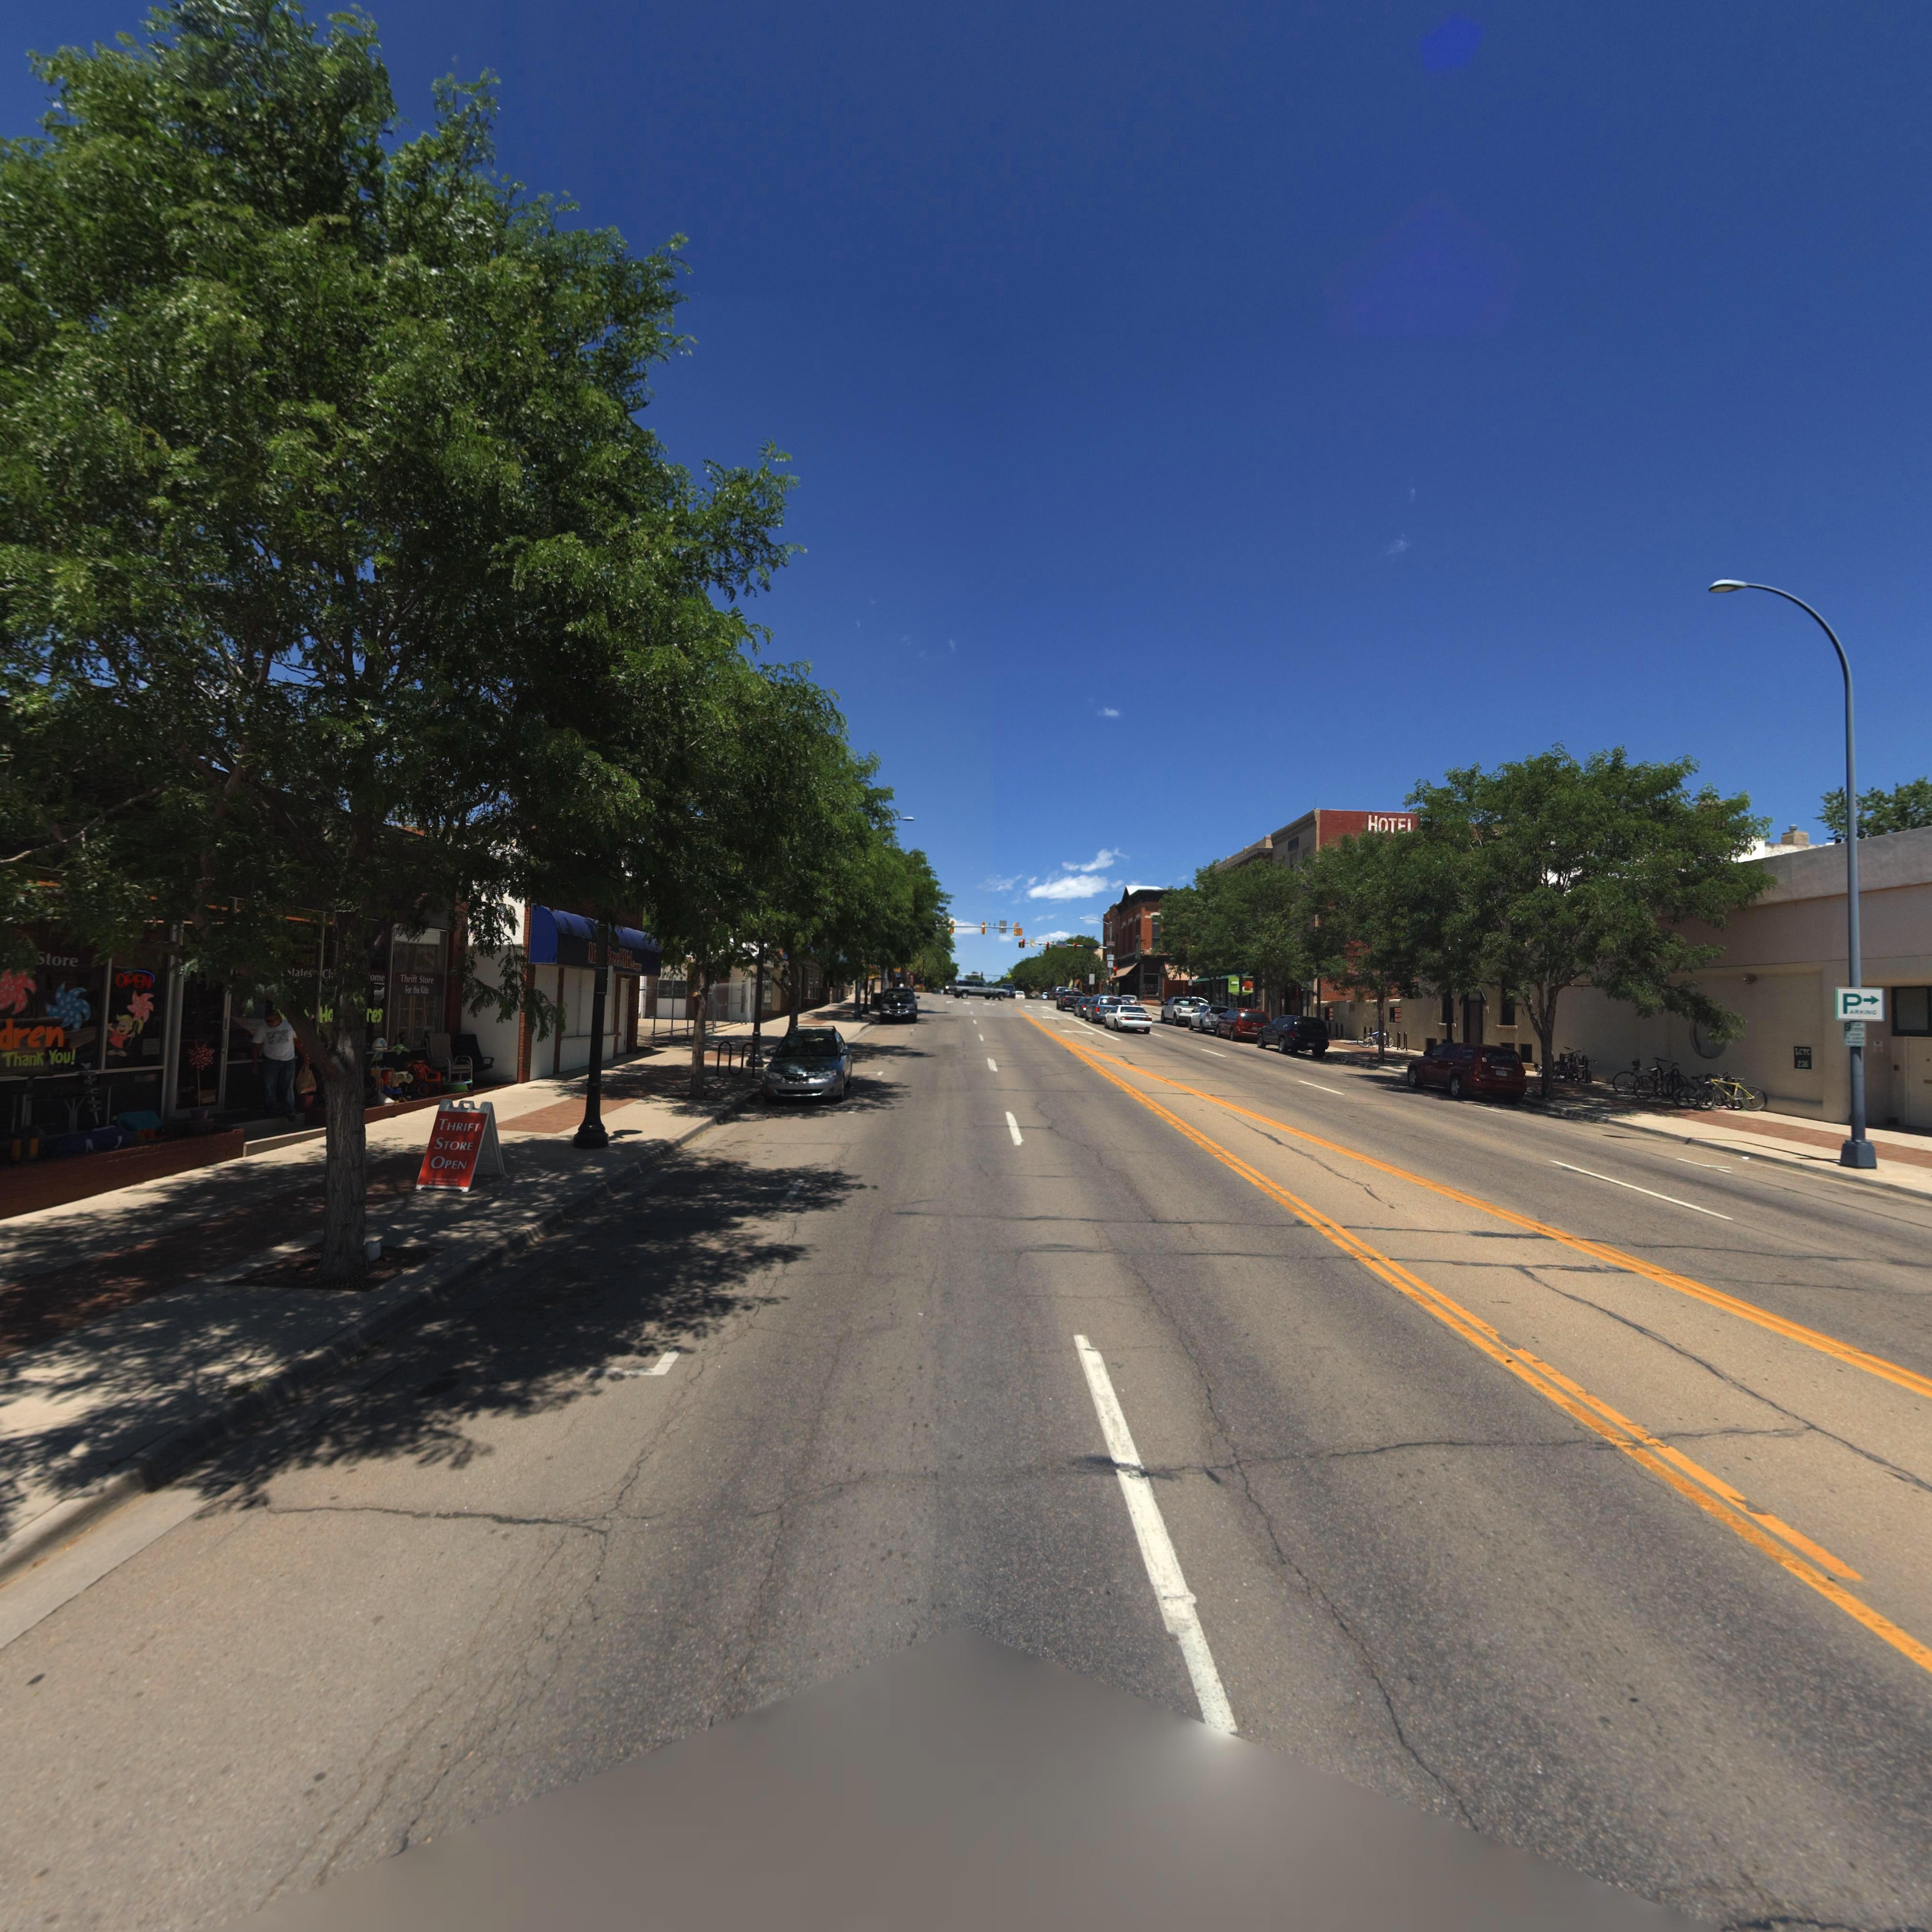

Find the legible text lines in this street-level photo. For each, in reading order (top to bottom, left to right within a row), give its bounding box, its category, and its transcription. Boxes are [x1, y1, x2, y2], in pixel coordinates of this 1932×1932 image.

[587, 940, 642, 972] BusinessName: Ma** *treet Mat Company
[435, 1137, 473, 1150] BusinessName: STORE